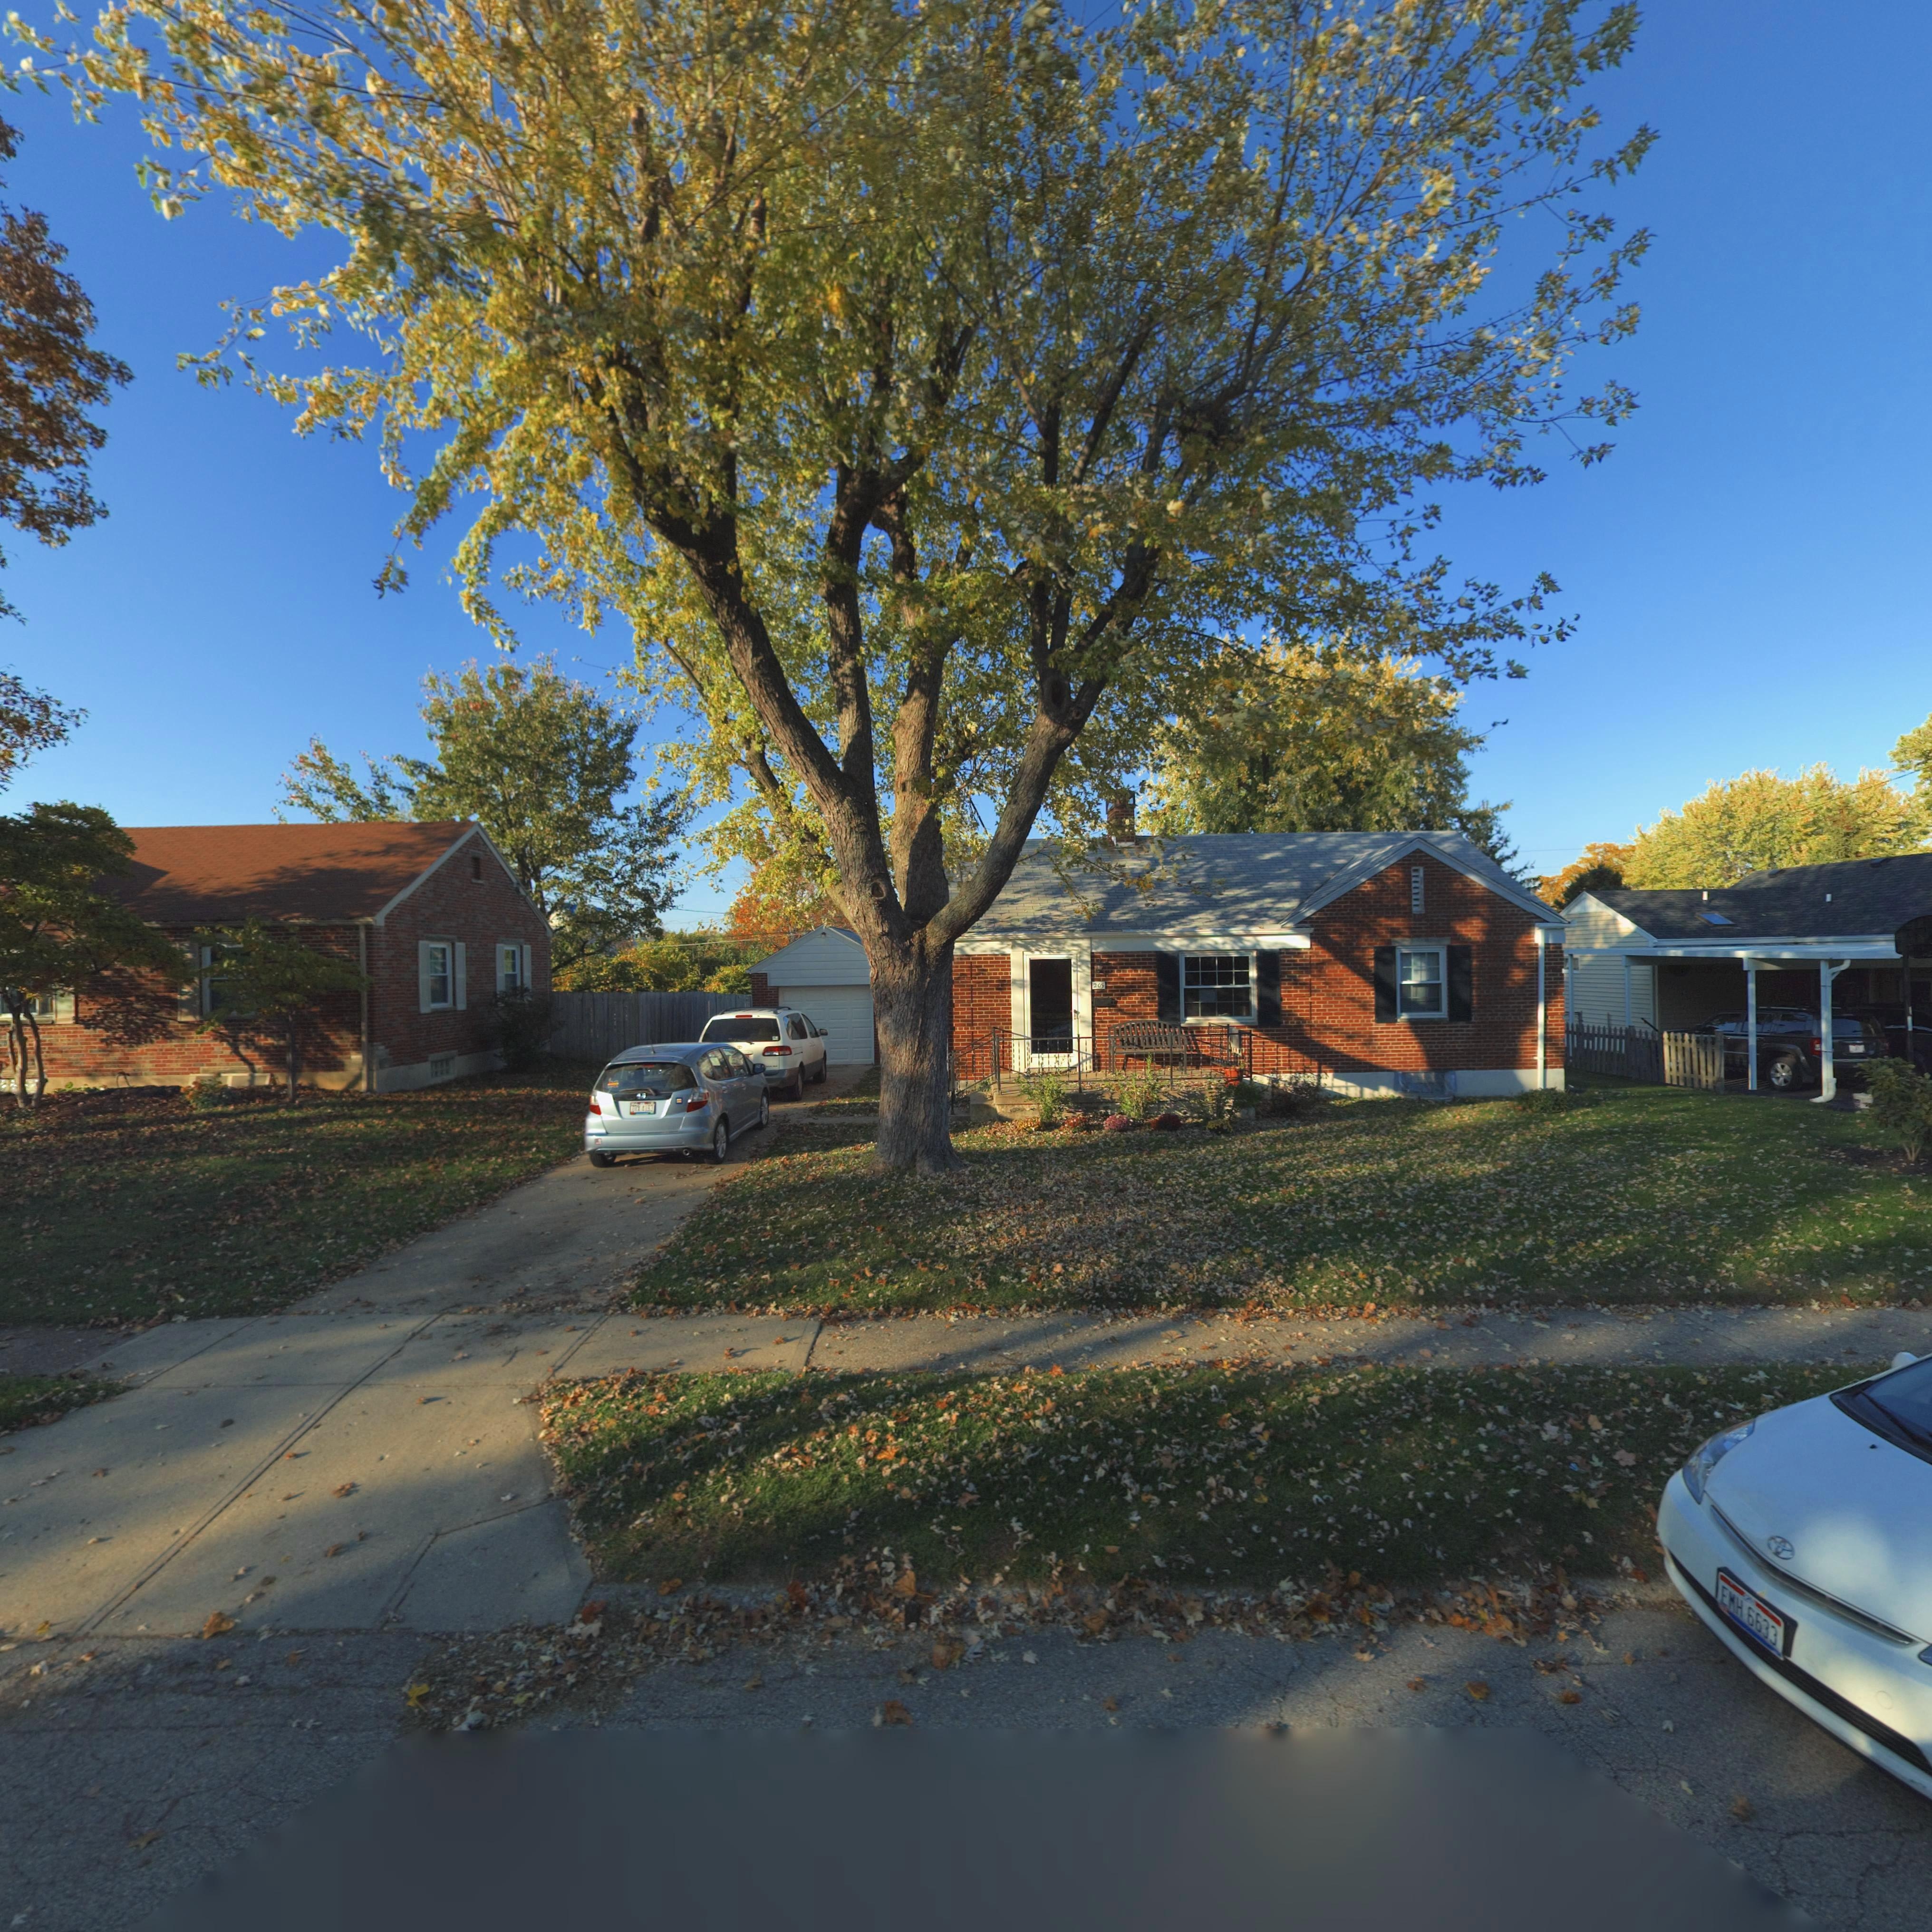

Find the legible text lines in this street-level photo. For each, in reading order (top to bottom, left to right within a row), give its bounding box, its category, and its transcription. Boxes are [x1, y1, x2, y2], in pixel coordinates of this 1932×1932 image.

[1092, 982, 1105, 988] StreetNumber: 209